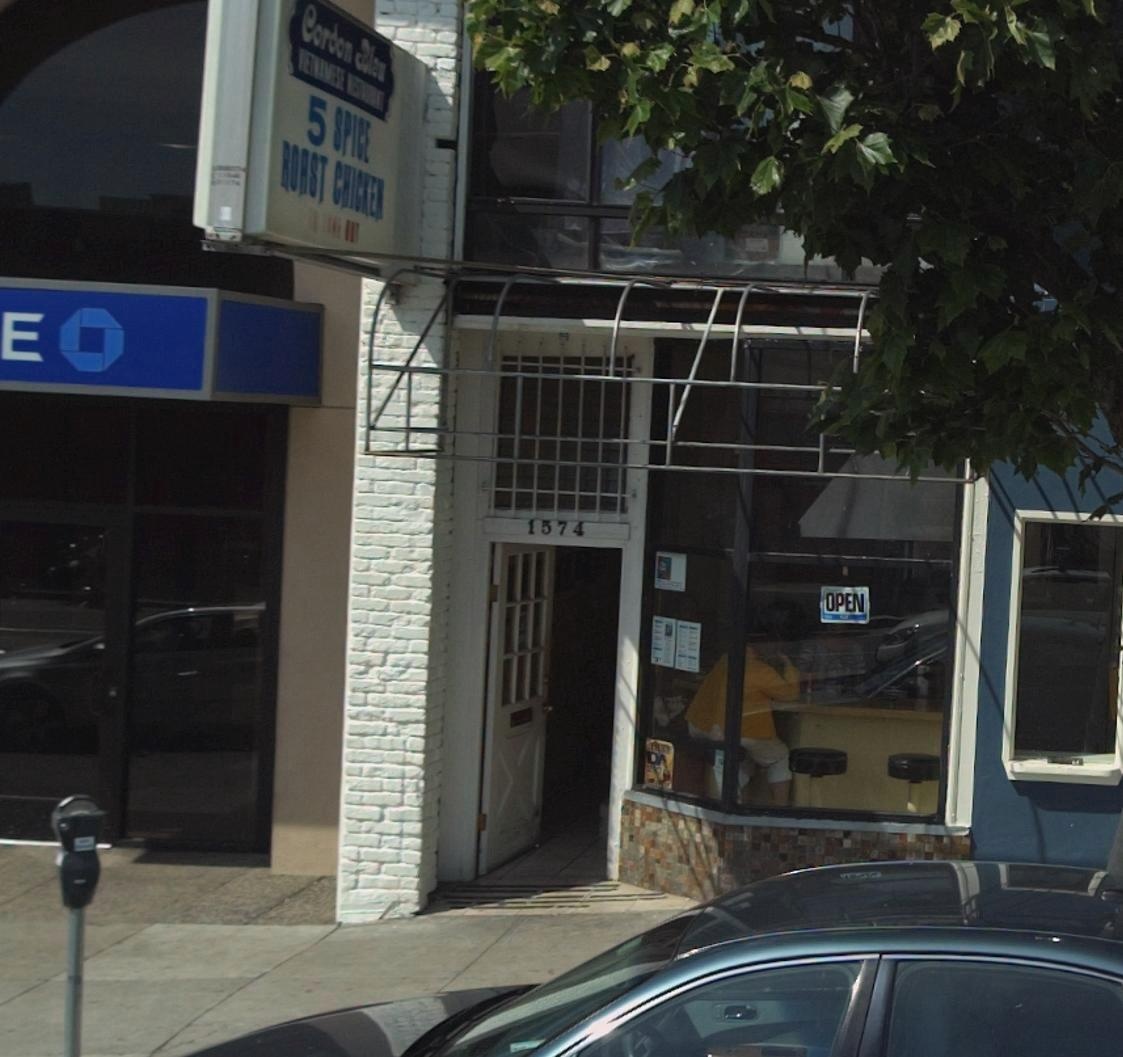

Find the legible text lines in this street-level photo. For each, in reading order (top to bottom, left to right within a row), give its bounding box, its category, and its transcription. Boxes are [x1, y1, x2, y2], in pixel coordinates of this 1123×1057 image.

[294, 2, 401, 87] BusinessName: Cordon Bleu
[305, 92, 373, 166] None: 5 SPICE
[280, 137, 386, 224] None: ROAST CHICKEN
[0, 310, 46, 363] BusinessName: E
[526, 518, 586, 538] StreetNumber: 1574
[825, 592, 865, 614] None: OPEN